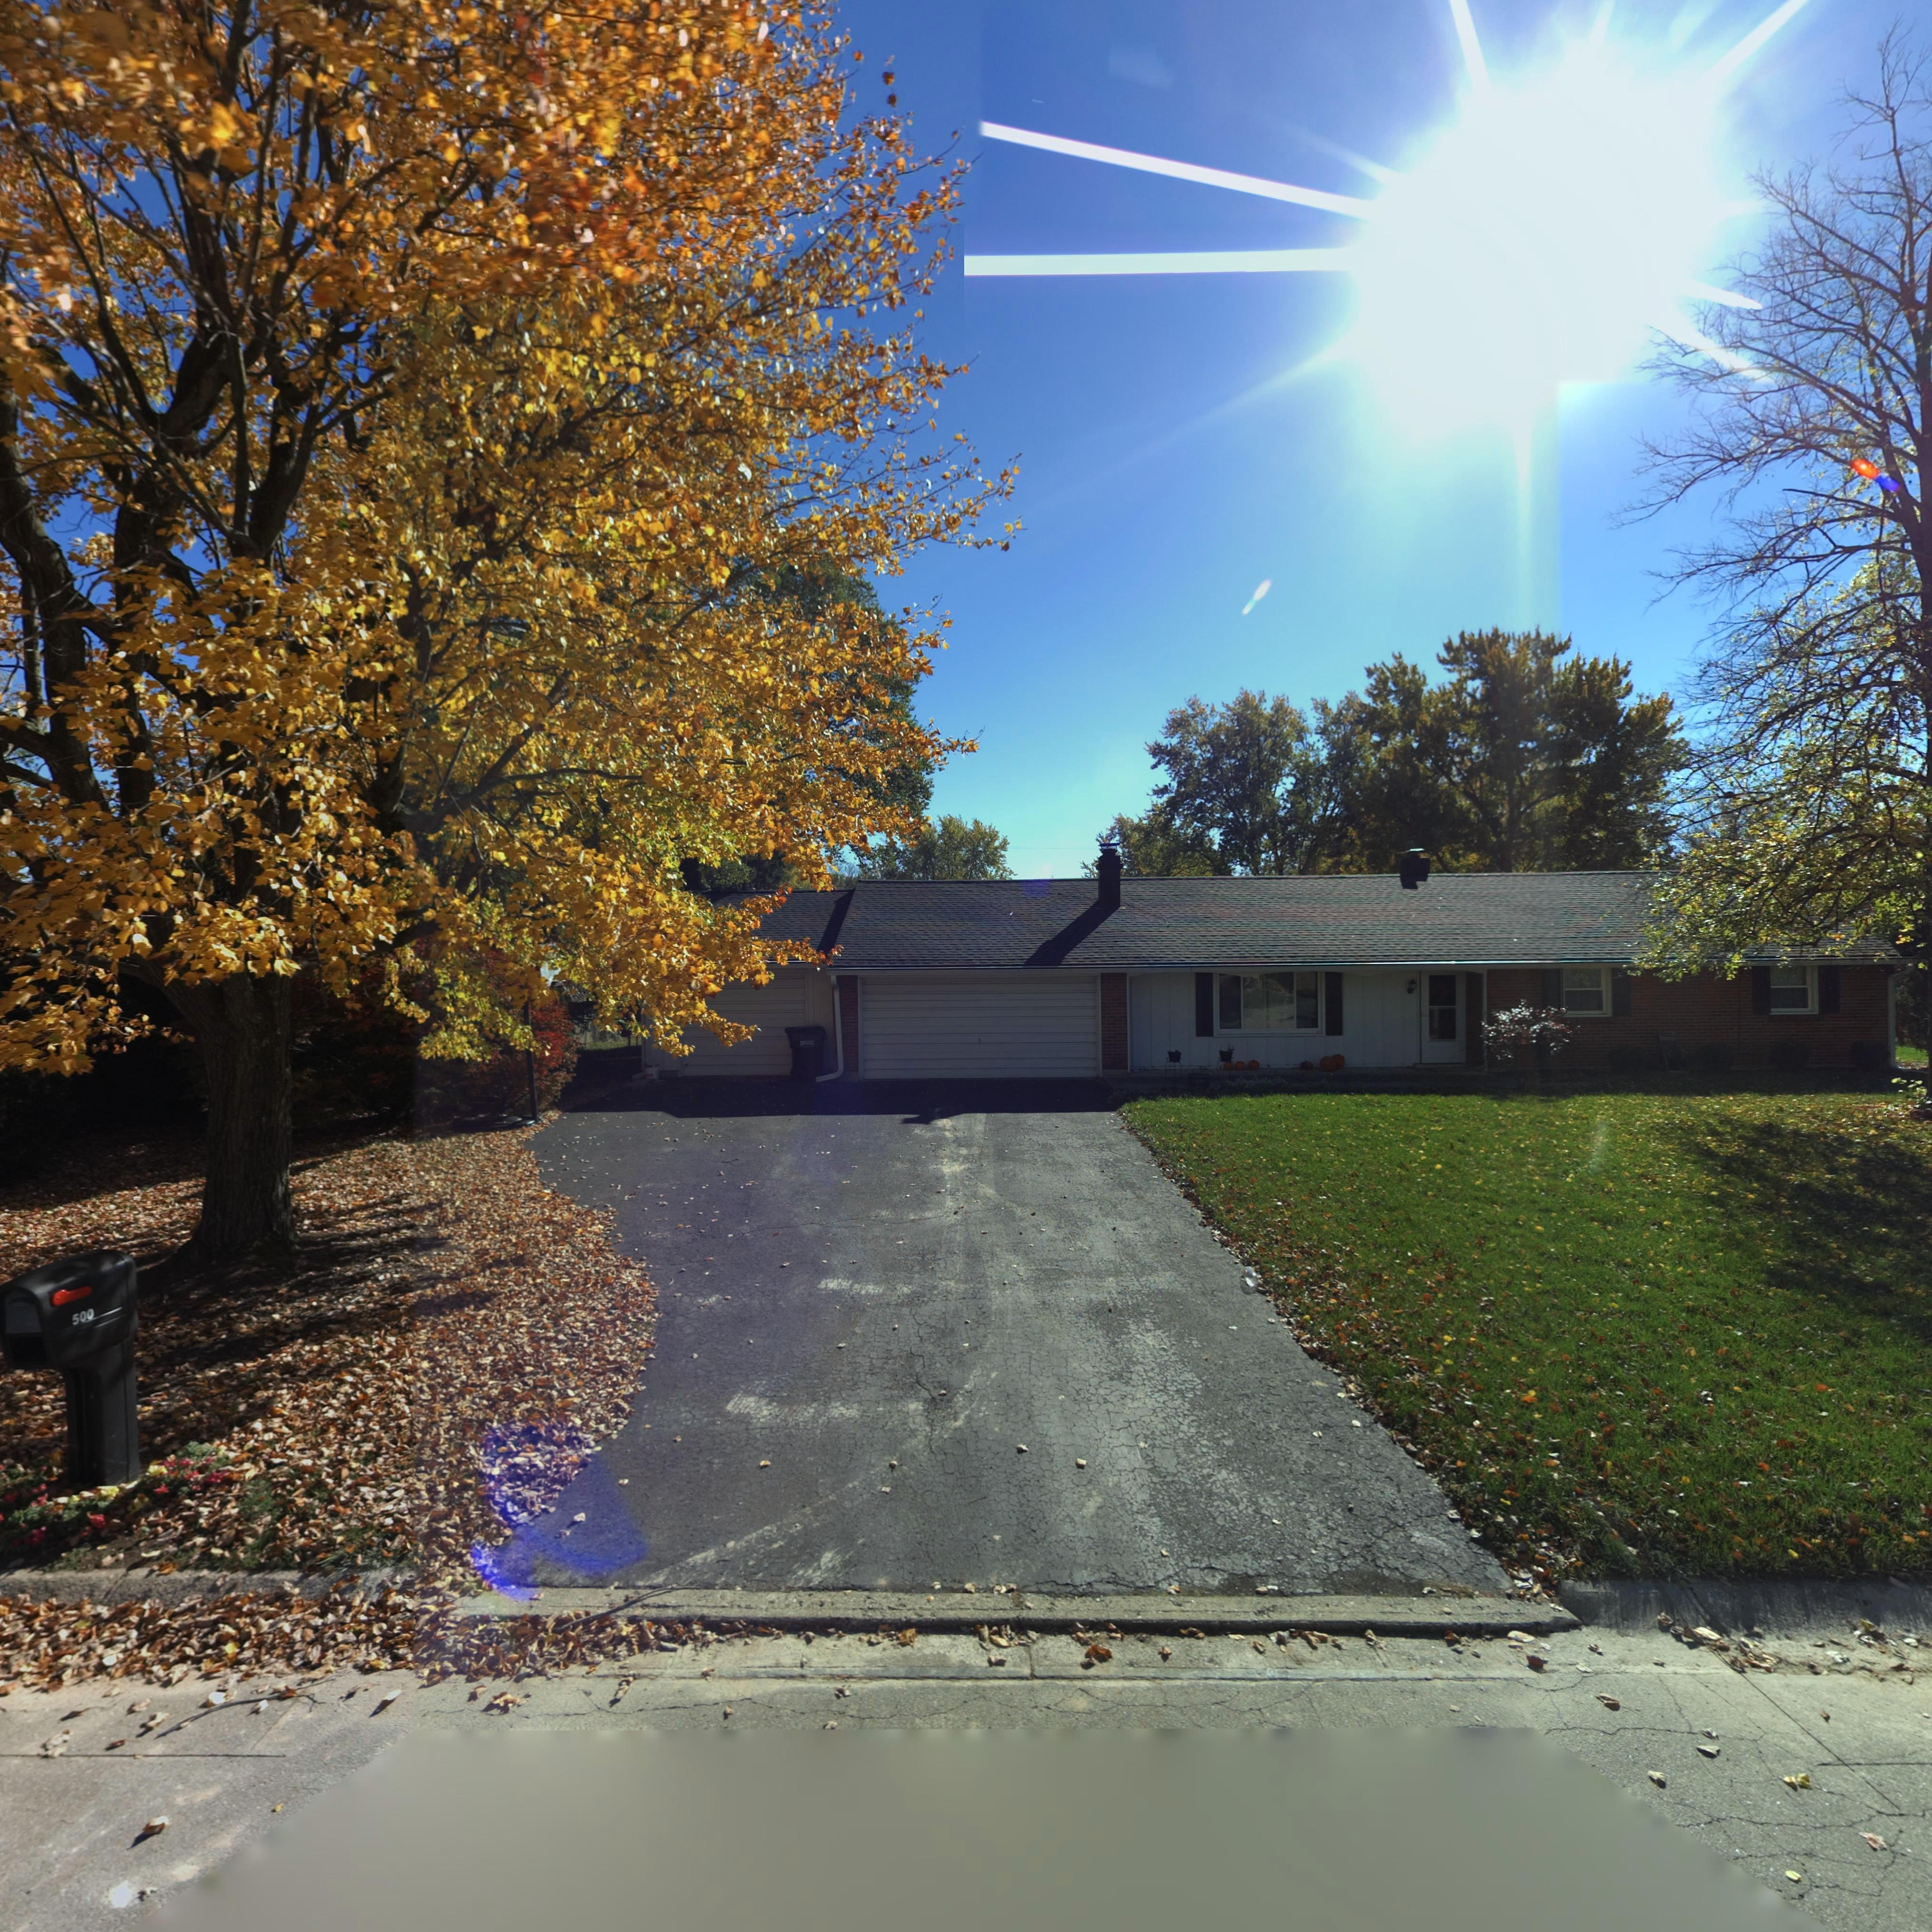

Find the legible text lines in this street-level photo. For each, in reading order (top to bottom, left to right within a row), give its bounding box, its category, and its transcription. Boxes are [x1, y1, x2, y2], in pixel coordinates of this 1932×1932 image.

[71, 1306, 95, 1327] StreetNumber: 500